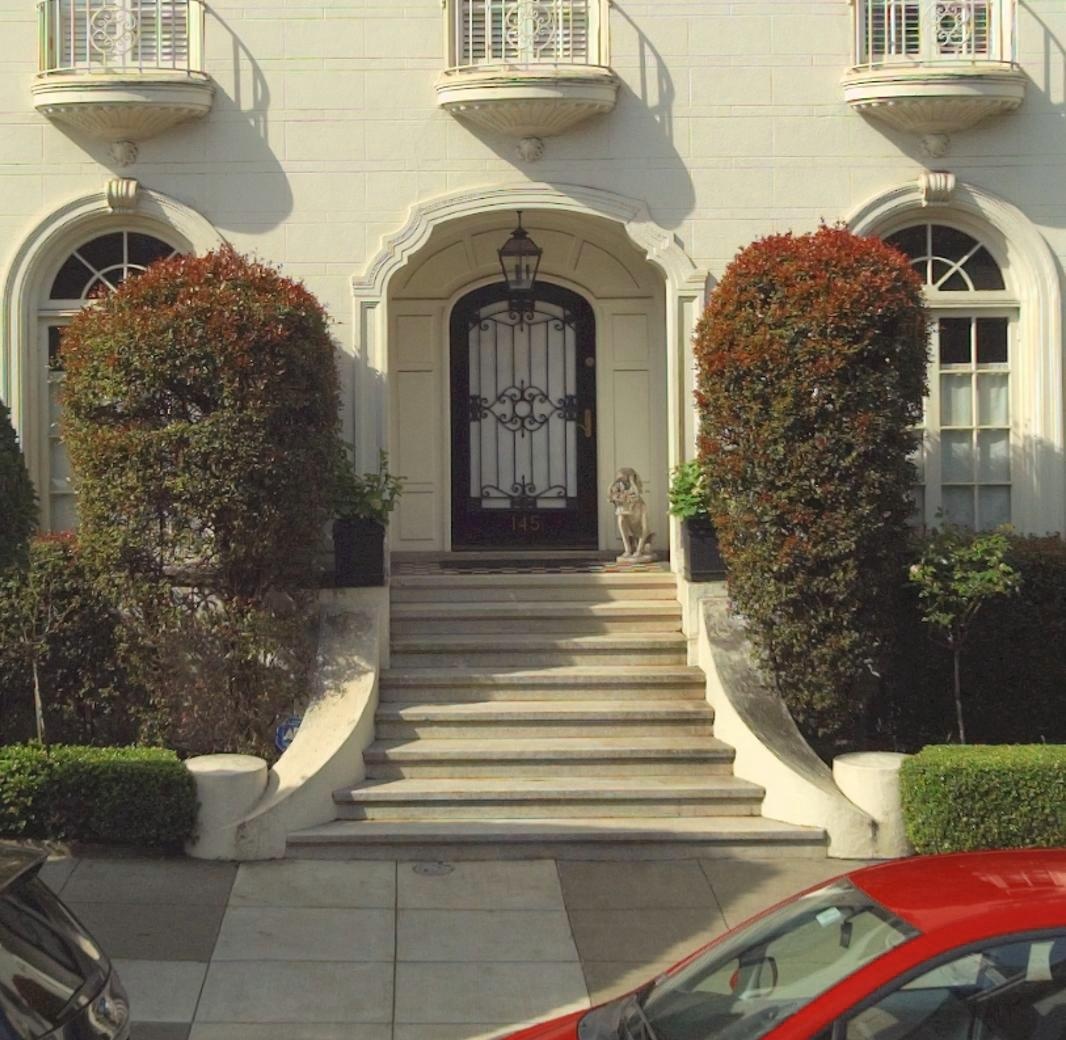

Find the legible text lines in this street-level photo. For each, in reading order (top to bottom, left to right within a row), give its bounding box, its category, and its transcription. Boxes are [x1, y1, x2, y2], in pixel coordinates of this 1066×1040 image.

[510, 513, 542, 534] StreetNumber: 145
[280, 724, 296, 743] None: A